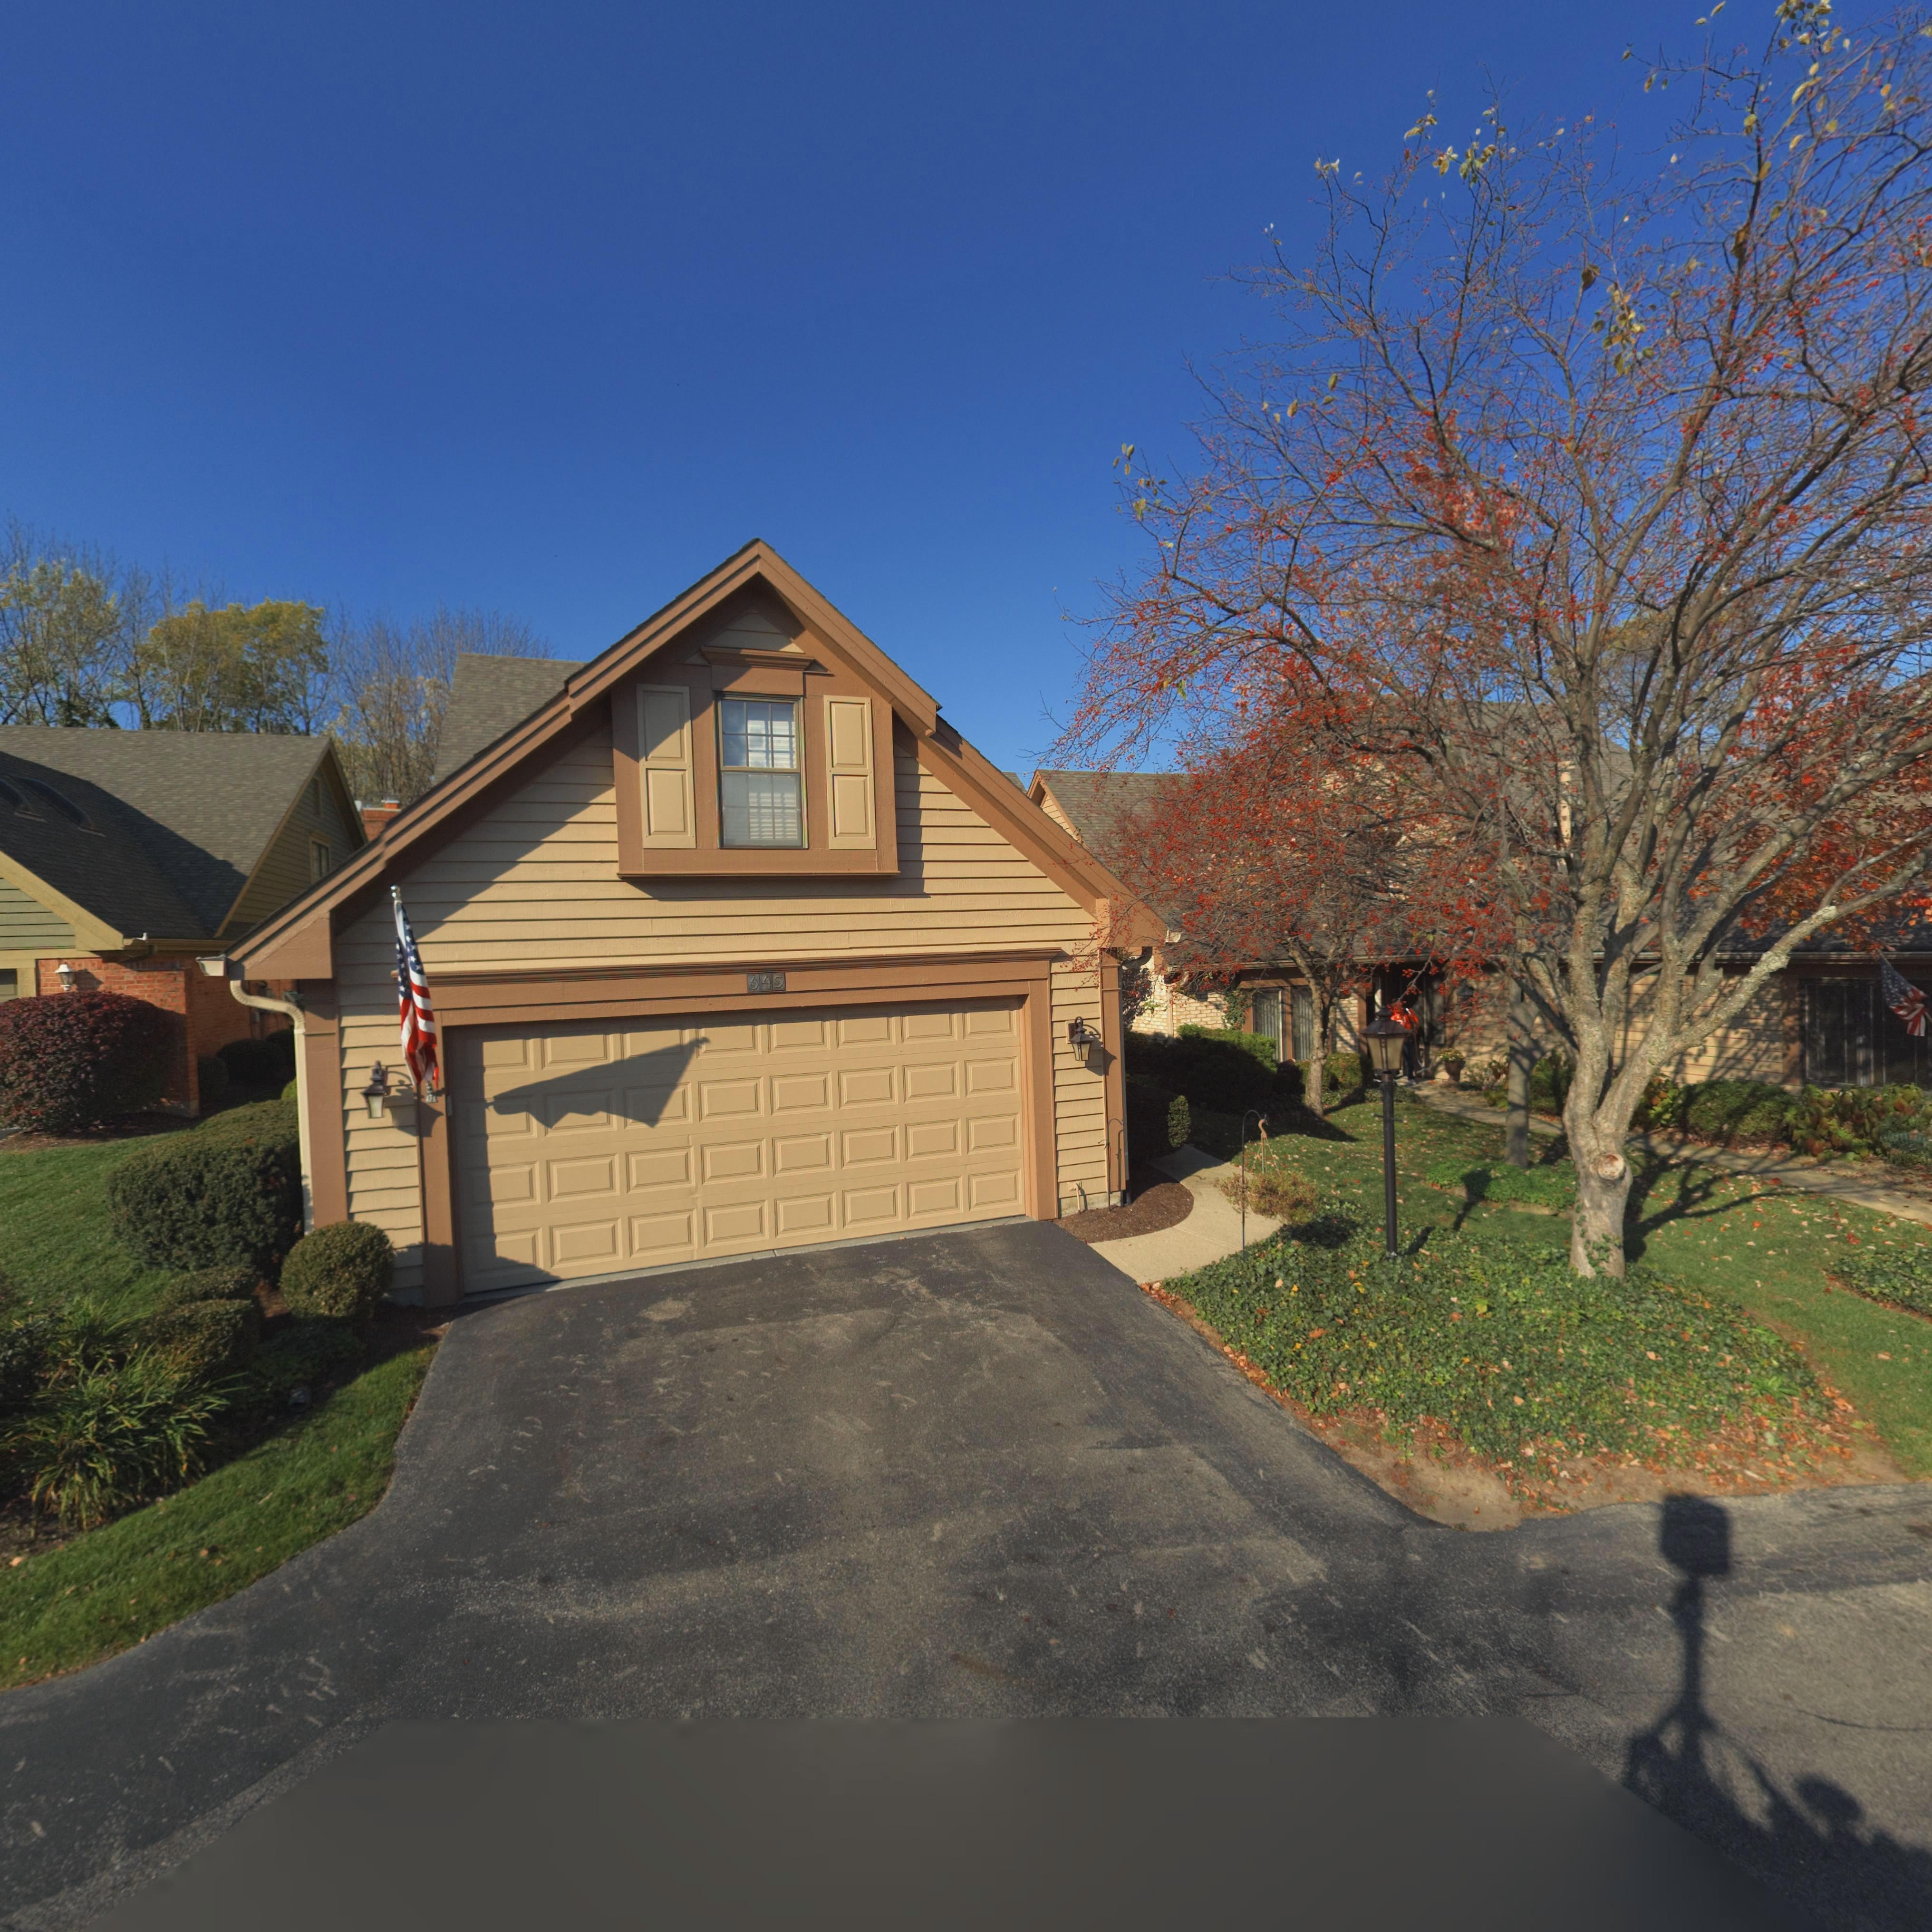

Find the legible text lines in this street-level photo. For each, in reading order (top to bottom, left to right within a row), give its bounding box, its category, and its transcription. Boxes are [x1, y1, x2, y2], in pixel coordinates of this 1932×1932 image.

[748, 974, 785, 991] StreetNumber: 649